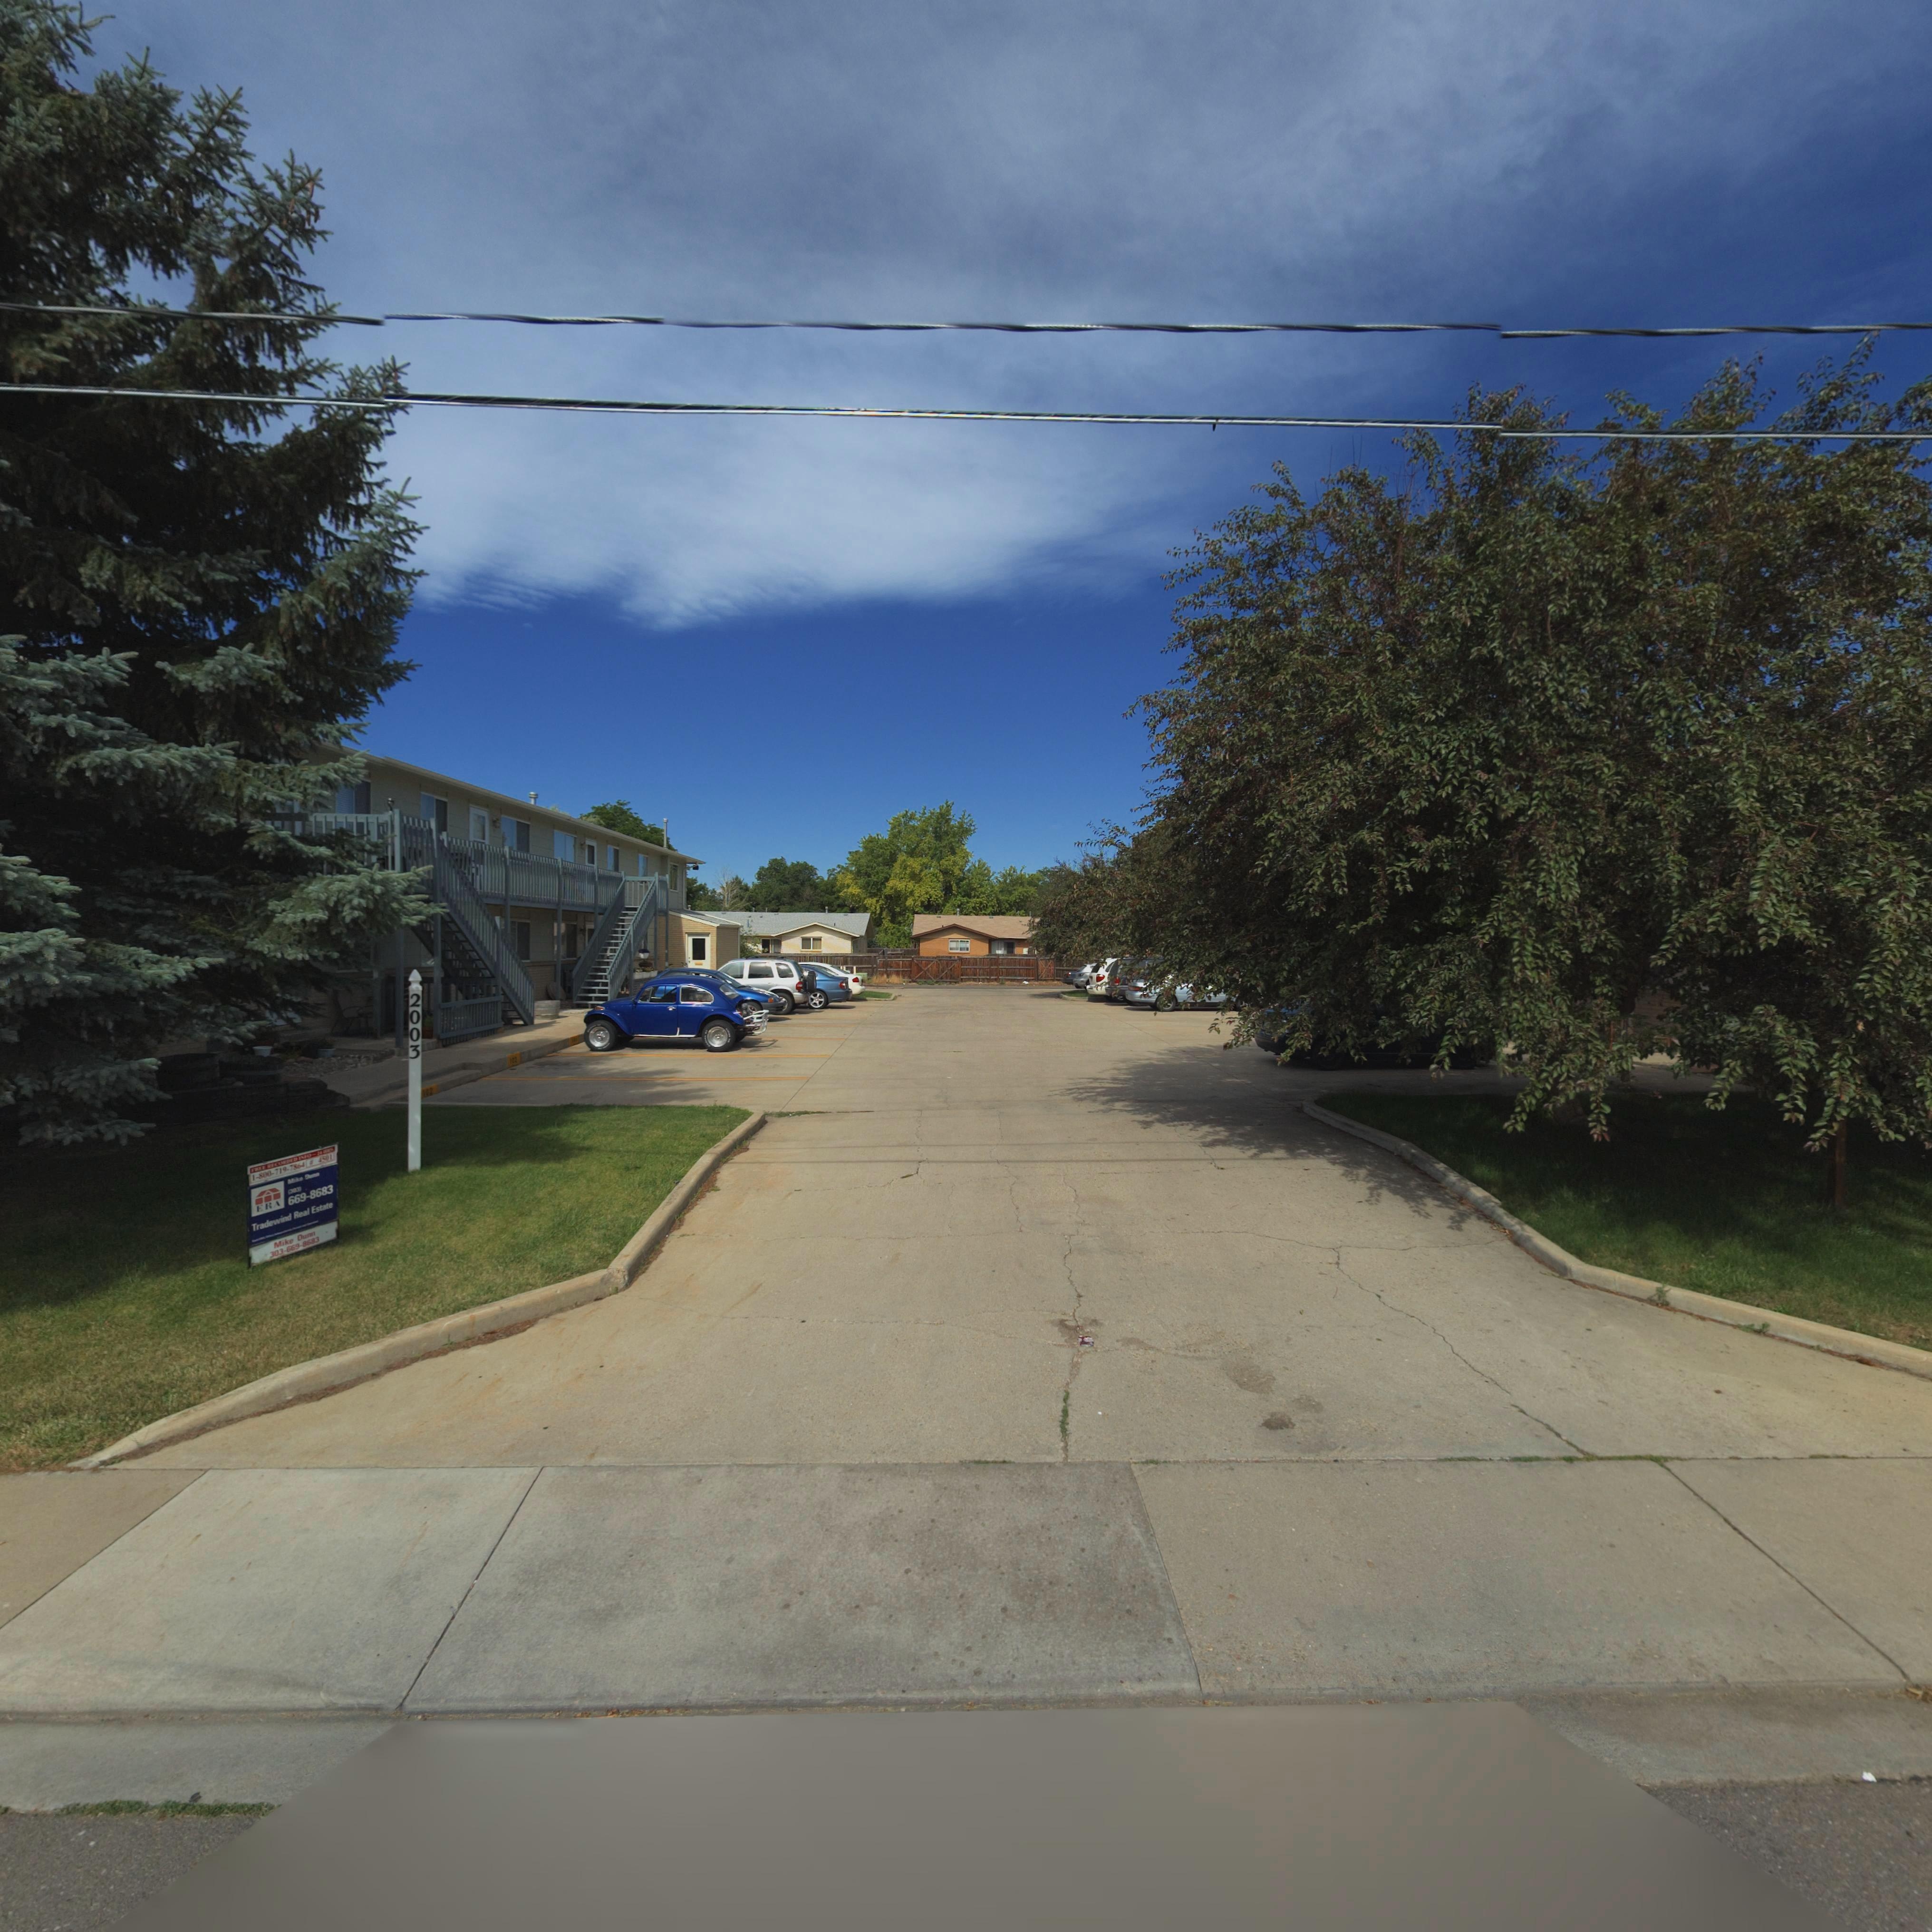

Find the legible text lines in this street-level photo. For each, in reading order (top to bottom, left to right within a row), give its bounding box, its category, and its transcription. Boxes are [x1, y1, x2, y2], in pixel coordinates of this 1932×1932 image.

[408, 992, 421, 1061] StreetNumber: 2003